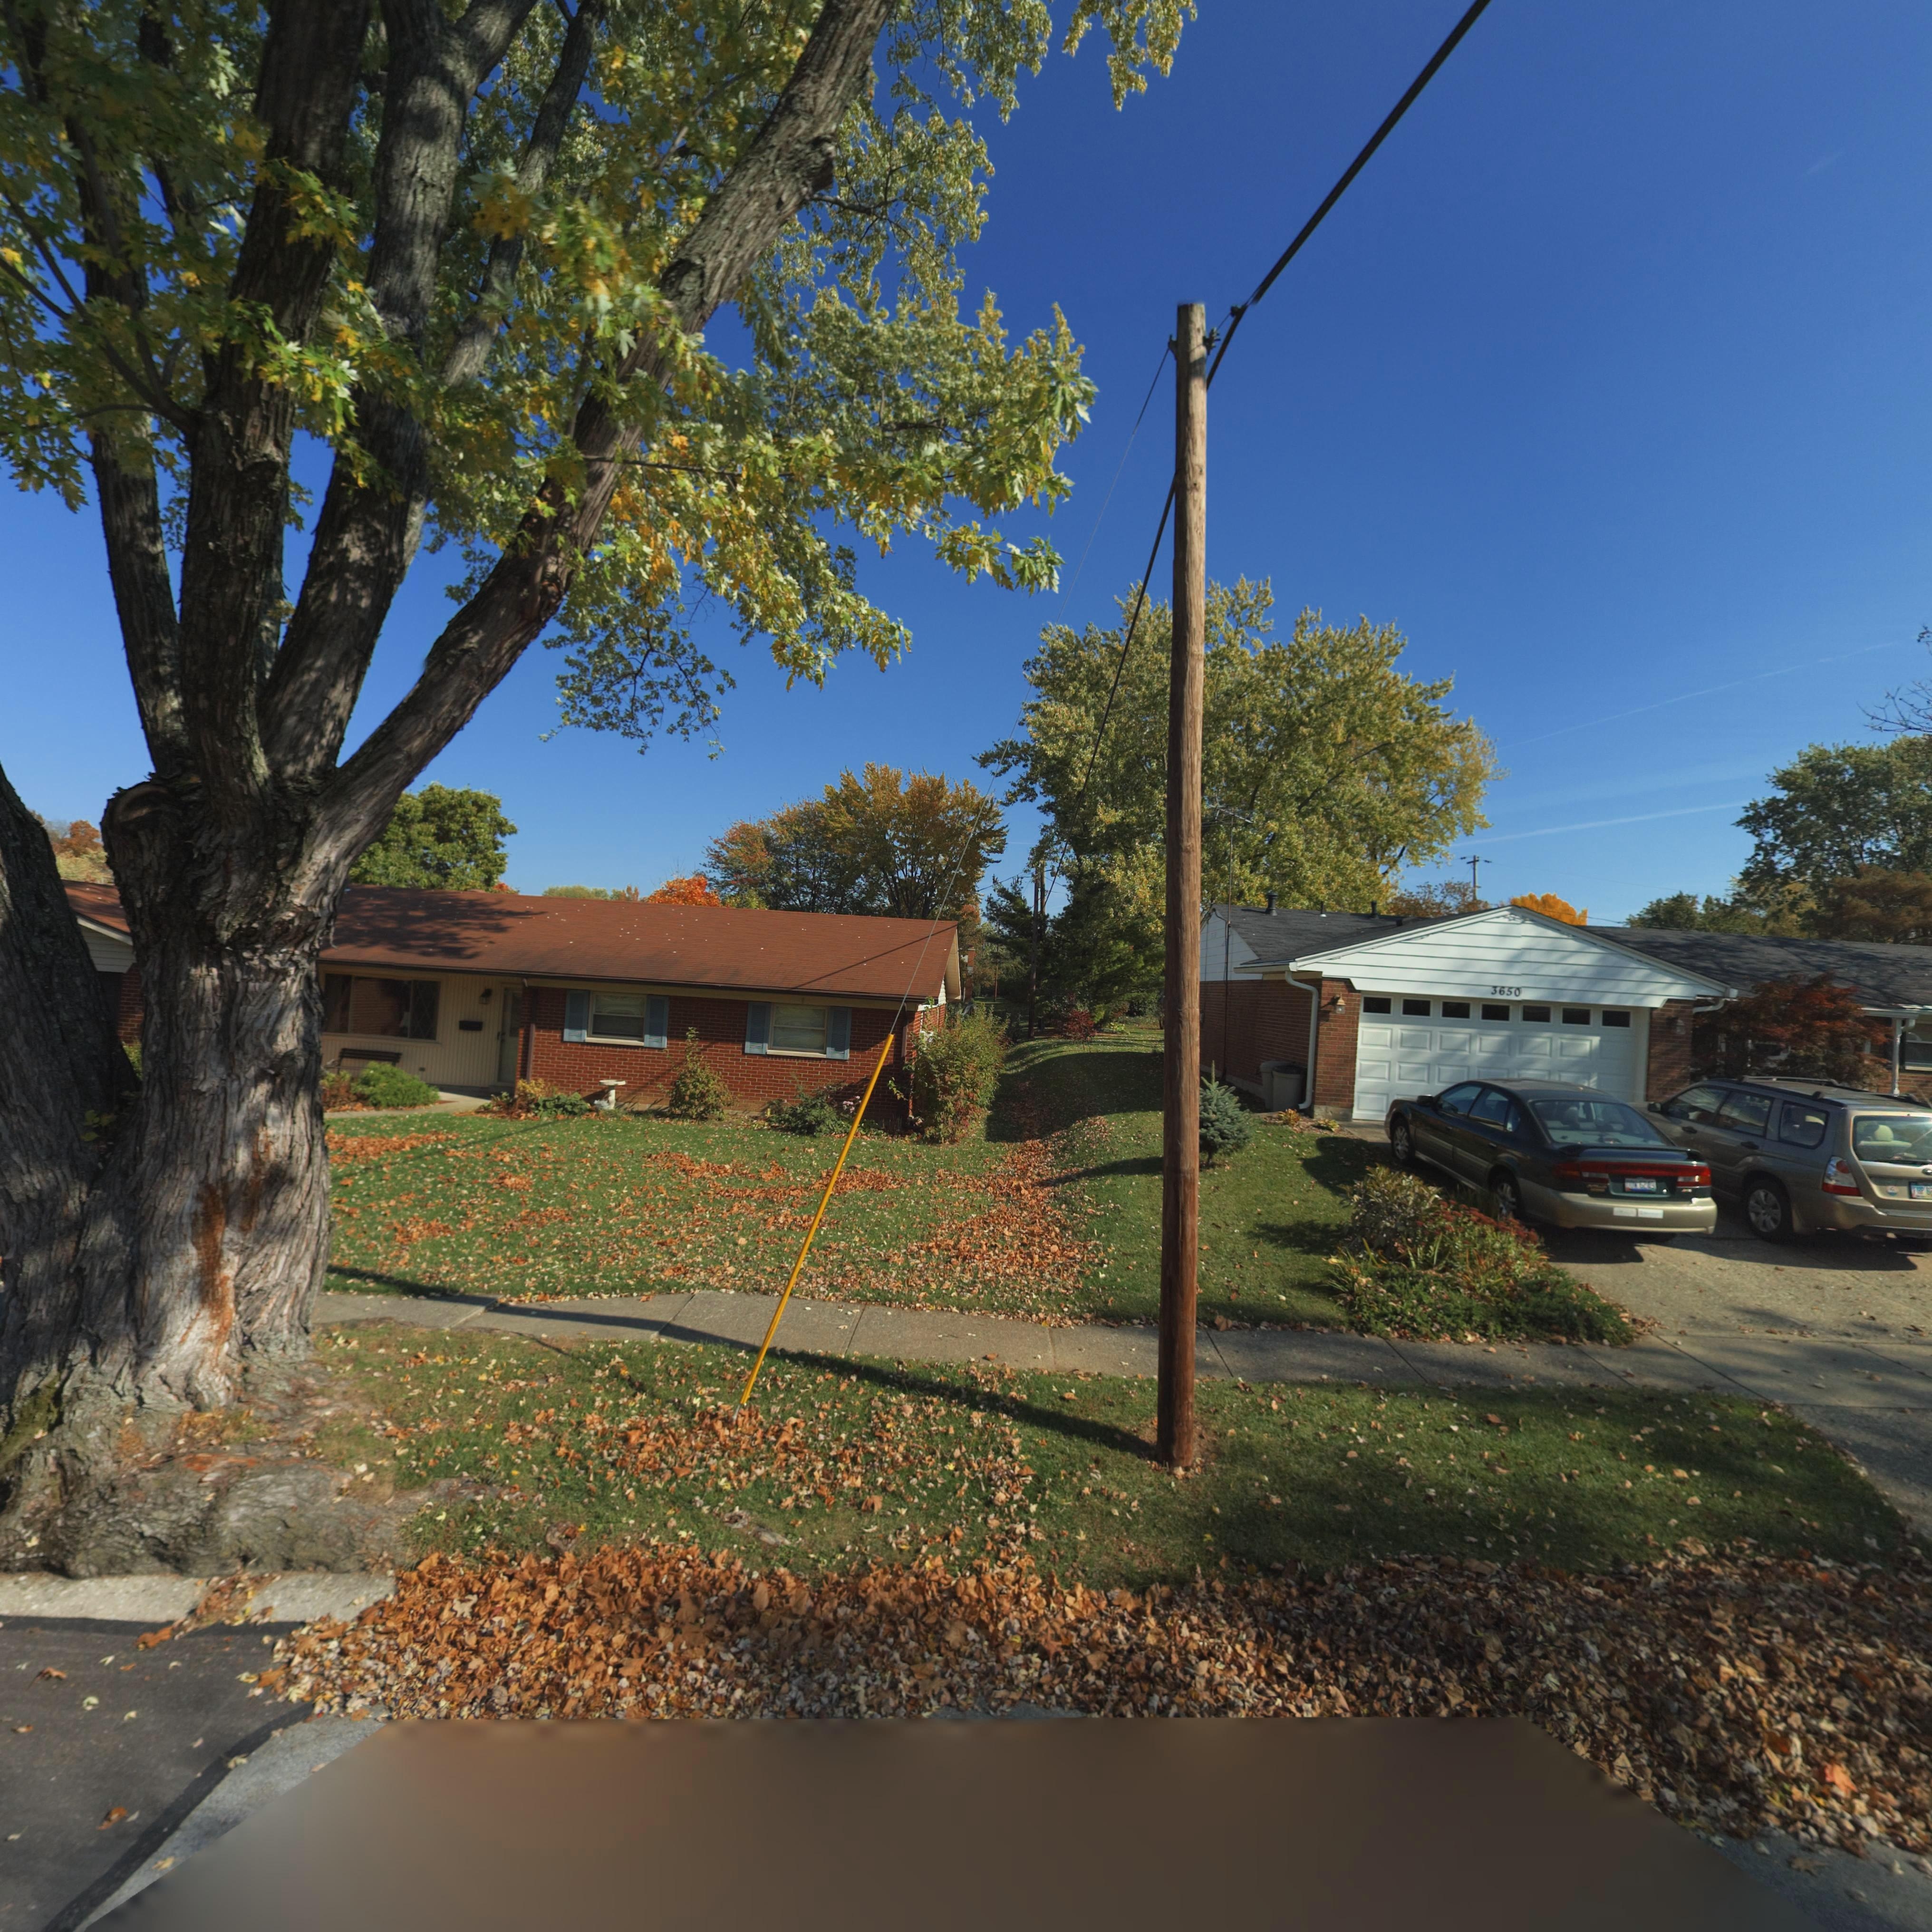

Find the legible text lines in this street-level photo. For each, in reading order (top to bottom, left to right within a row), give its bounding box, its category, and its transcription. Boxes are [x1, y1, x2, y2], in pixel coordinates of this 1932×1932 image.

[1490, 985, 1522, 998] StreetNumber: 3650